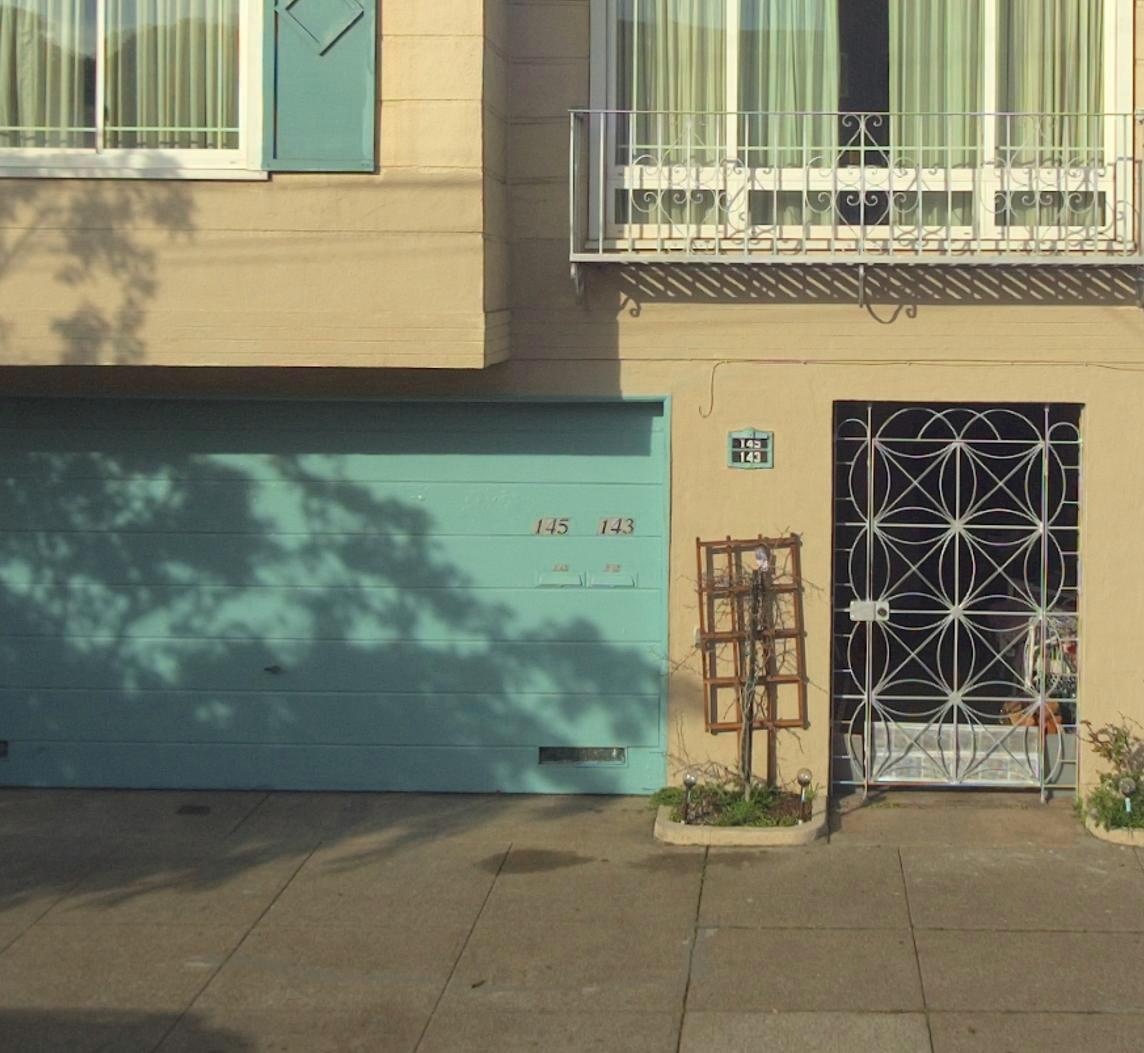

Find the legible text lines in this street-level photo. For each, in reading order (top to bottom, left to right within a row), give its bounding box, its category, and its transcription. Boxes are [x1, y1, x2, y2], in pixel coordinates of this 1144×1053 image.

[737, 436, 763, 451] StreetNumber: 14*
[738, 449, 763, 465] StreetNumber: 143
[534, 516, 571, 537] StreetNumber: 145
[598, 516, 637, 537] StreetNumber: 143